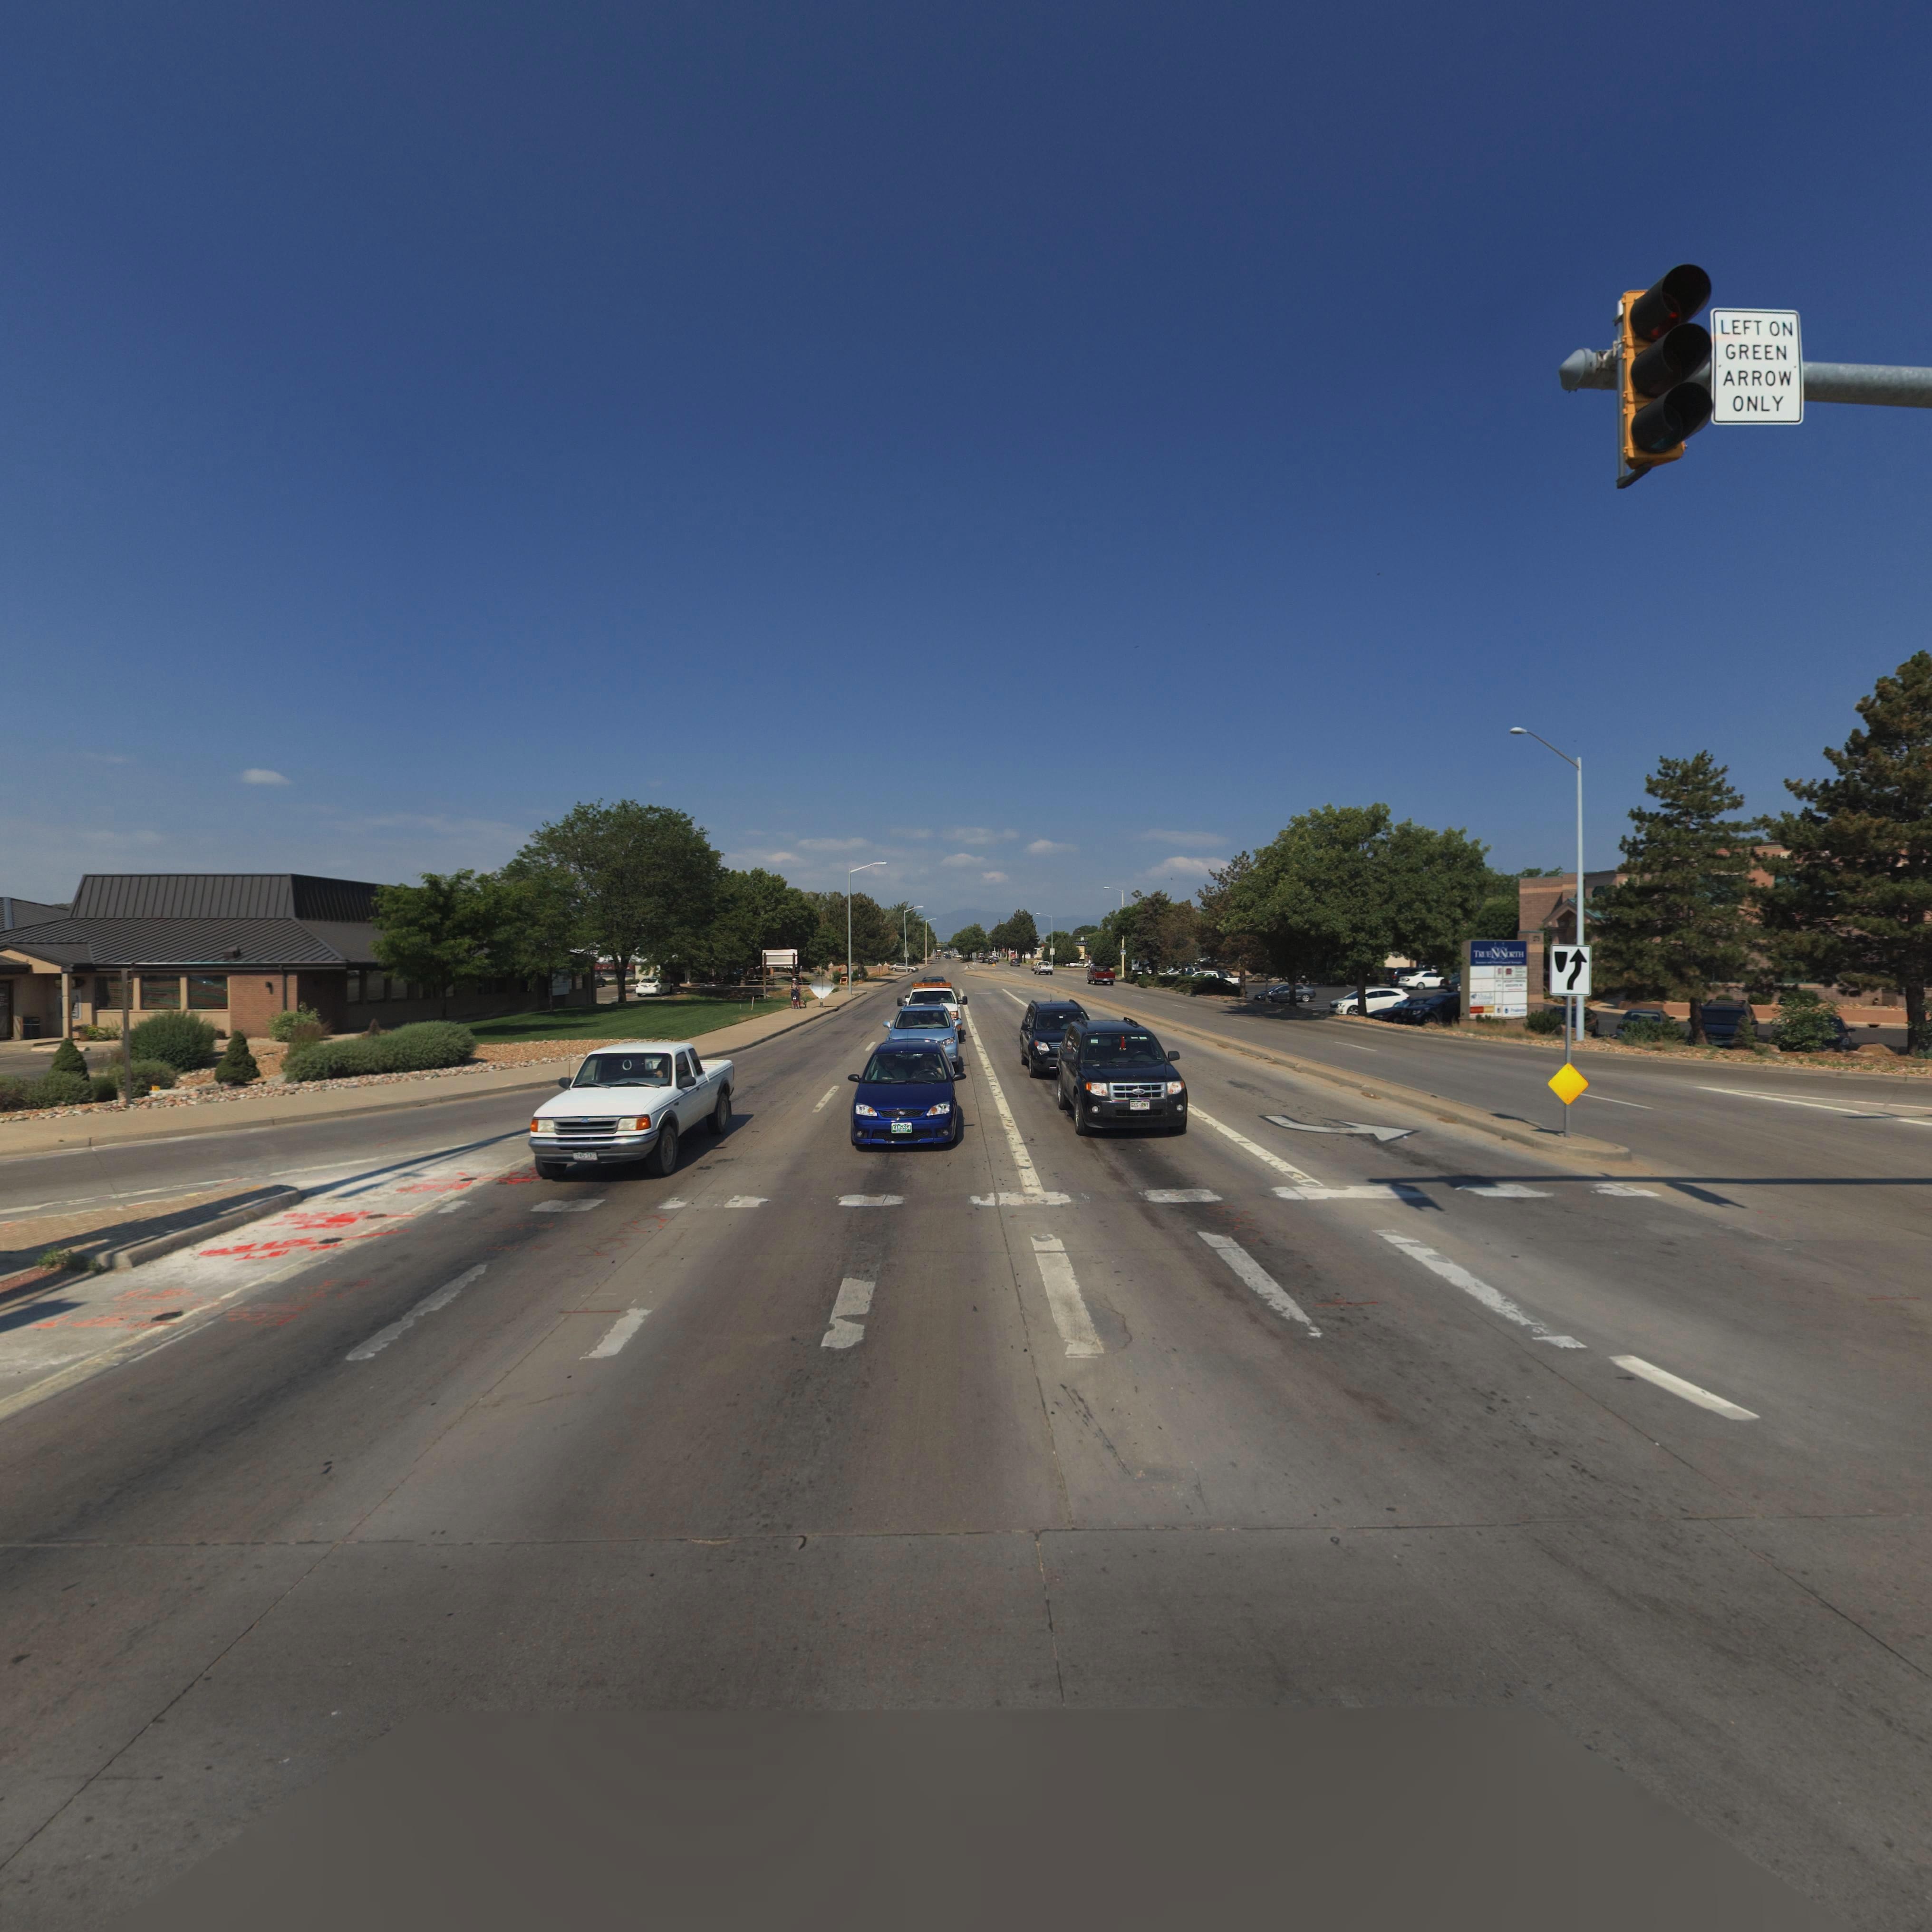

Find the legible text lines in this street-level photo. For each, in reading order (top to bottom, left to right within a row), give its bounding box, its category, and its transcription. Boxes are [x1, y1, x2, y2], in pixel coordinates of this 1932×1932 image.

[1472, 947, 1524, 959] BusinessName: TRUENNORTH